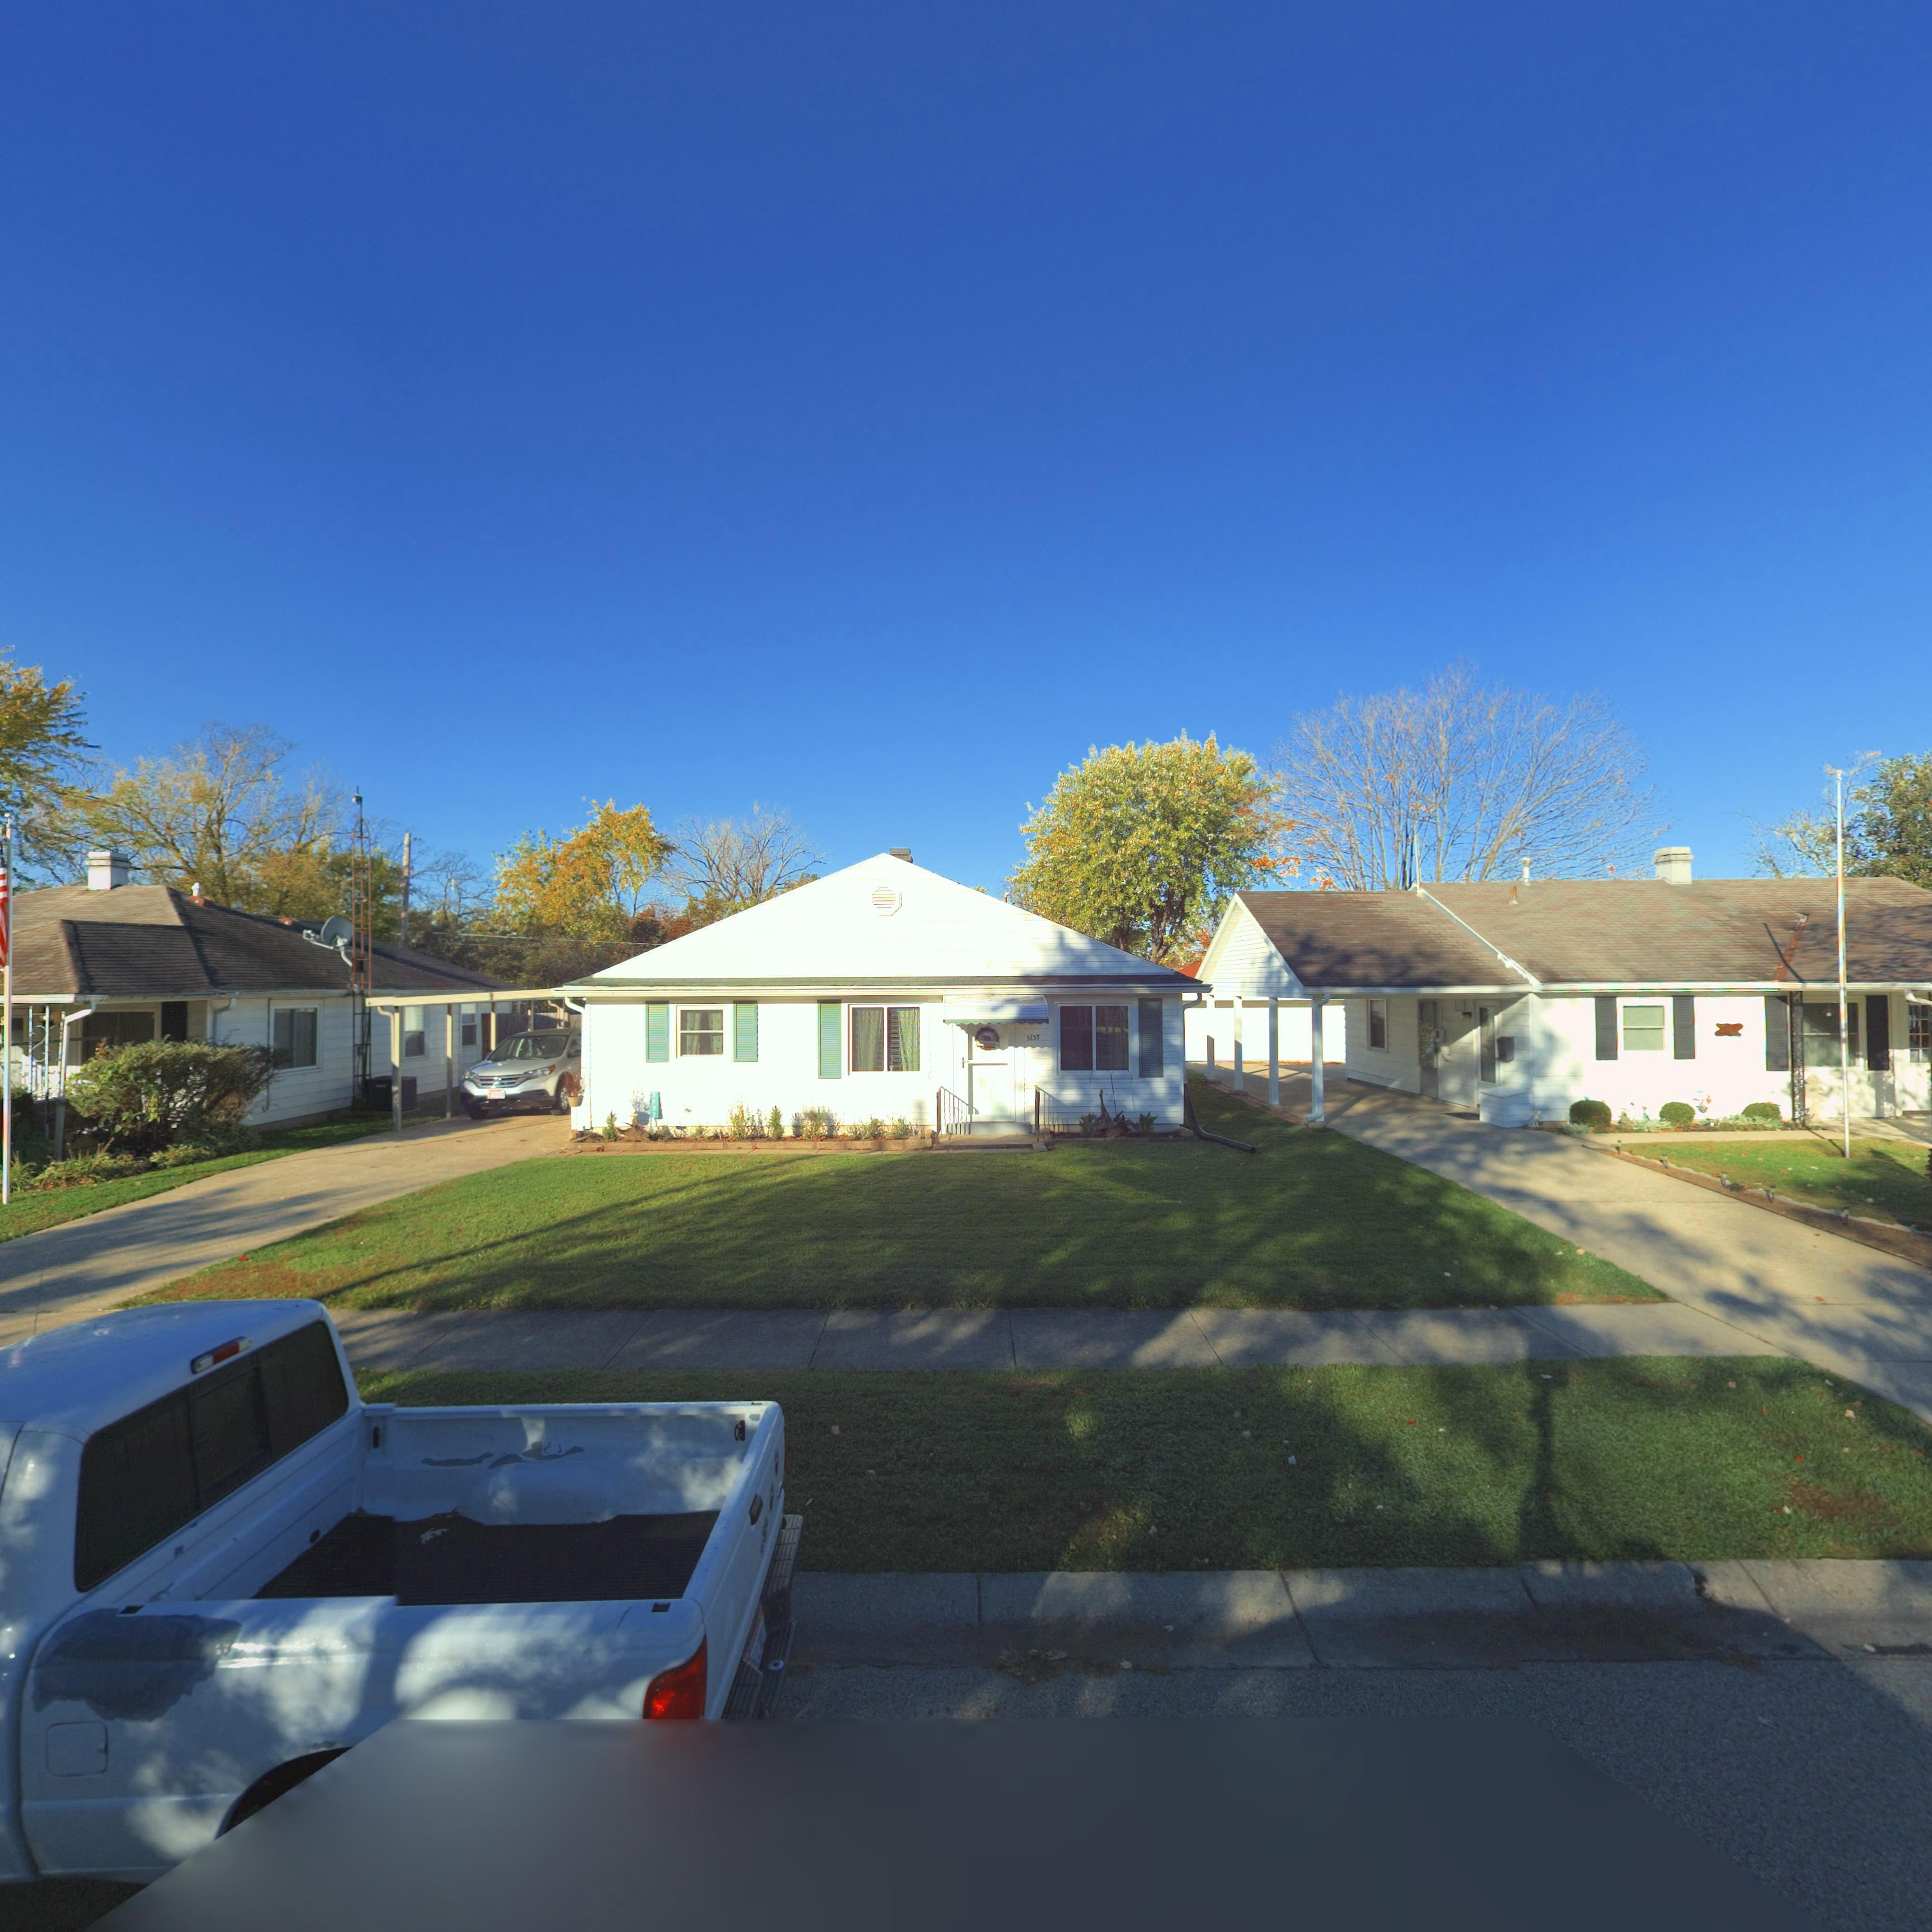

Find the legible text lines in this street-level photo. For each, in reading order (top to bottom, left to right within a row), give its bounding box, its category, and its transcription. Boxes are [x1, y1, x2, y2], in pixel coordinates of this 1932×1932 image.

[1026, 1034, 1041, 1041] StreetNumber: 5137
[651, 1091, 657, 1118] StreetNumber: 5137